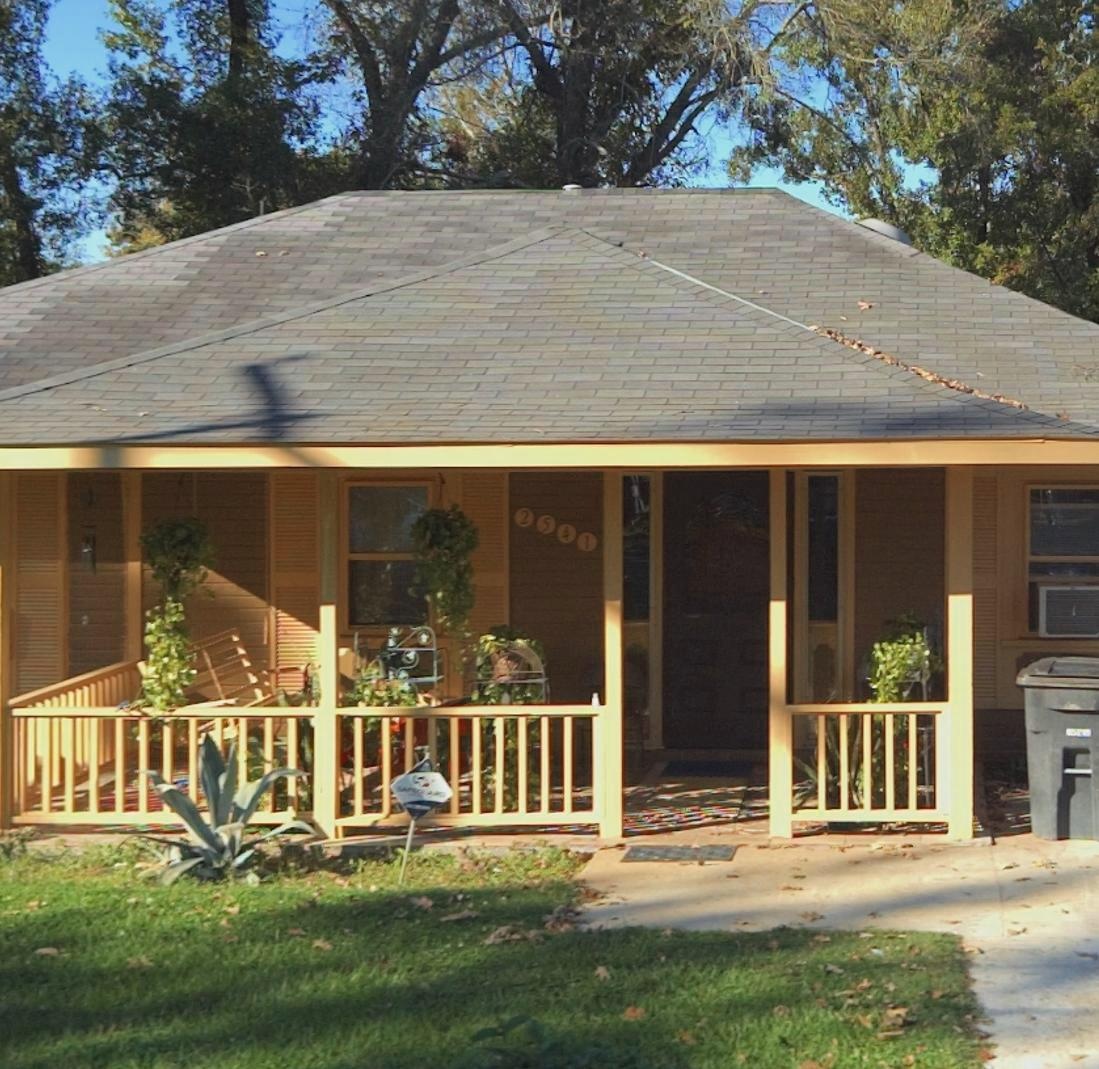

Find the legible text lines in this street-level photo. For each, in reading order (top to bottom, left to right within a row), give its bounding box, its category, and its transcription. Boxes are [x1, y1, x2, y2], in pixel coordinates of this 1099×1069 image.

[519, 508, 591, 551] StreetNumber: 2541